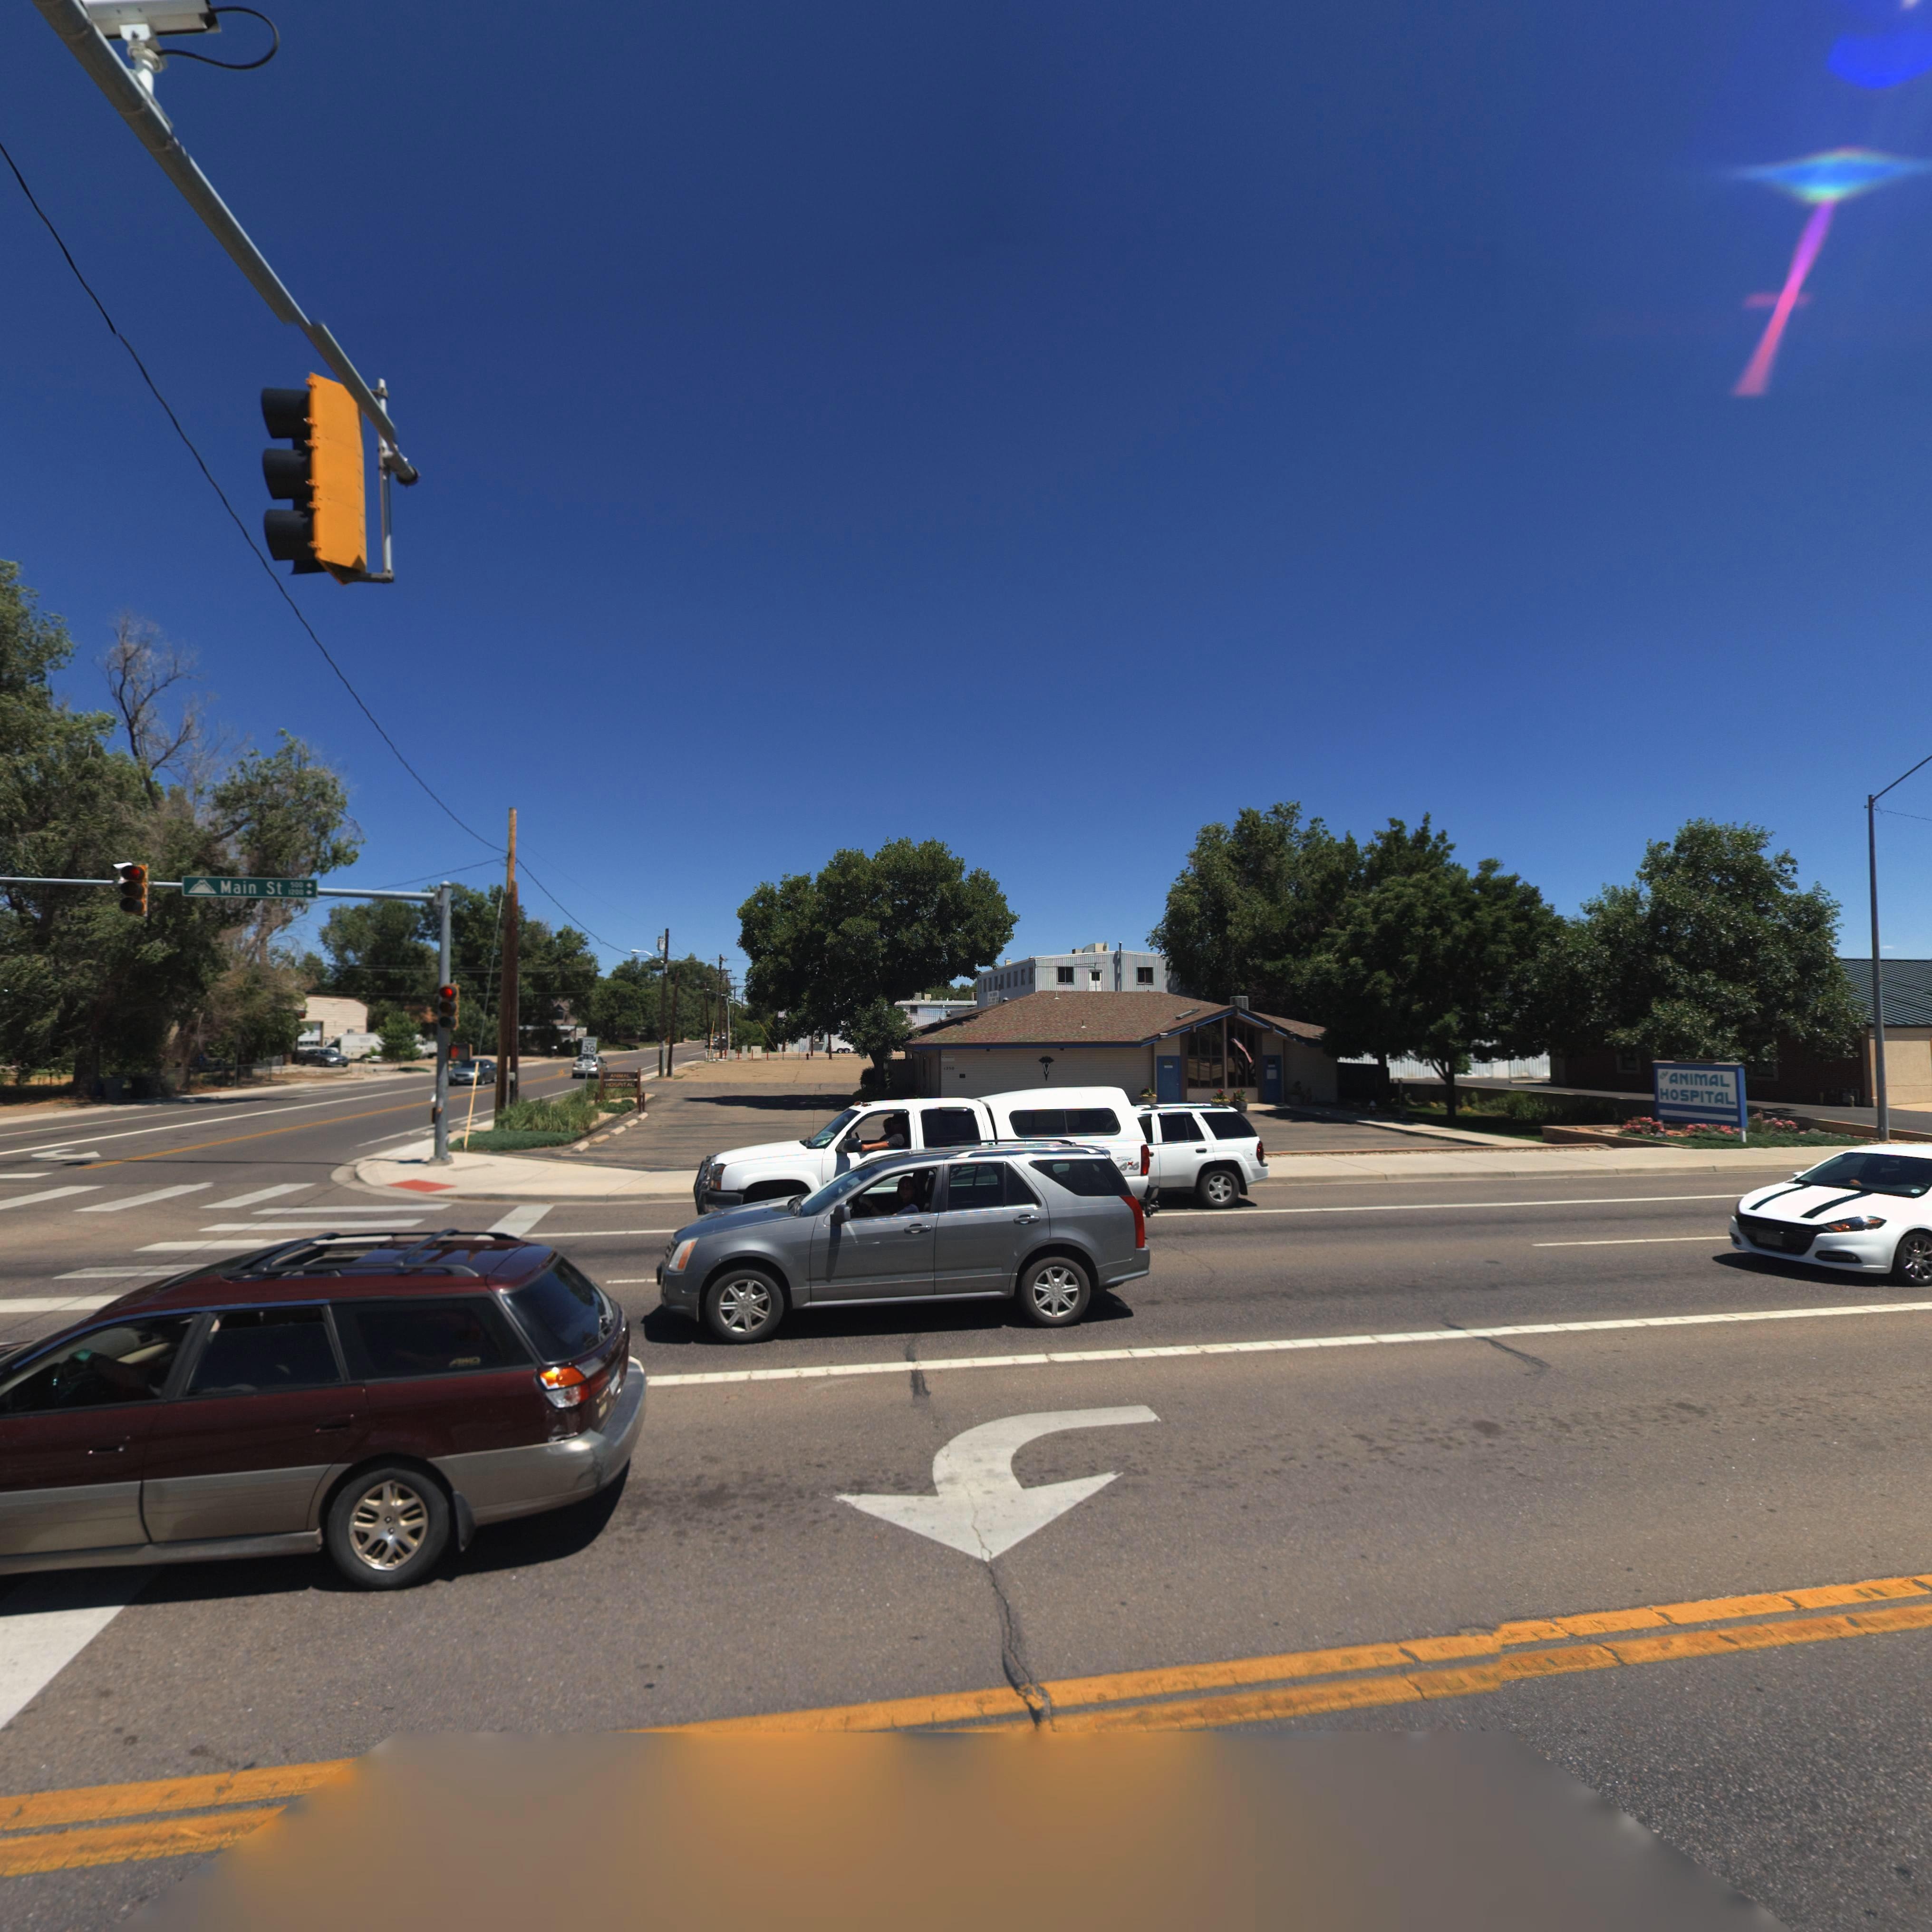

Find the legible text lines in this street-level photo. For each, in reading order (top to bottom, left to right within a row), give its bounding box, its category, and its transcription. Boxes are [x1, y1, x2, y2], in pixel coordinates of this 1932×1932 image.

[219, 879, 283, 895] StreetName: Main St
[290, 881, 304, 888] StreetNumberRange: 500
[288, 888, 313, 896] StreetNumberRange: 1200 ->
[944, 1066, 955, 1070] StreetNumber: 1250
[609, 1072, 630, 1078] BusinessName: ANIMAL
[1658, 1070, 1669, 1080] BusinessName: The
[1669, 1072, 1730, 1087] BusinessName: ANIMAL
[605, 1082, 634, 1087] BusinessName: HOSPITAL
[1659, 1087, 1735, 1105] BusinessName: HOSPITAL